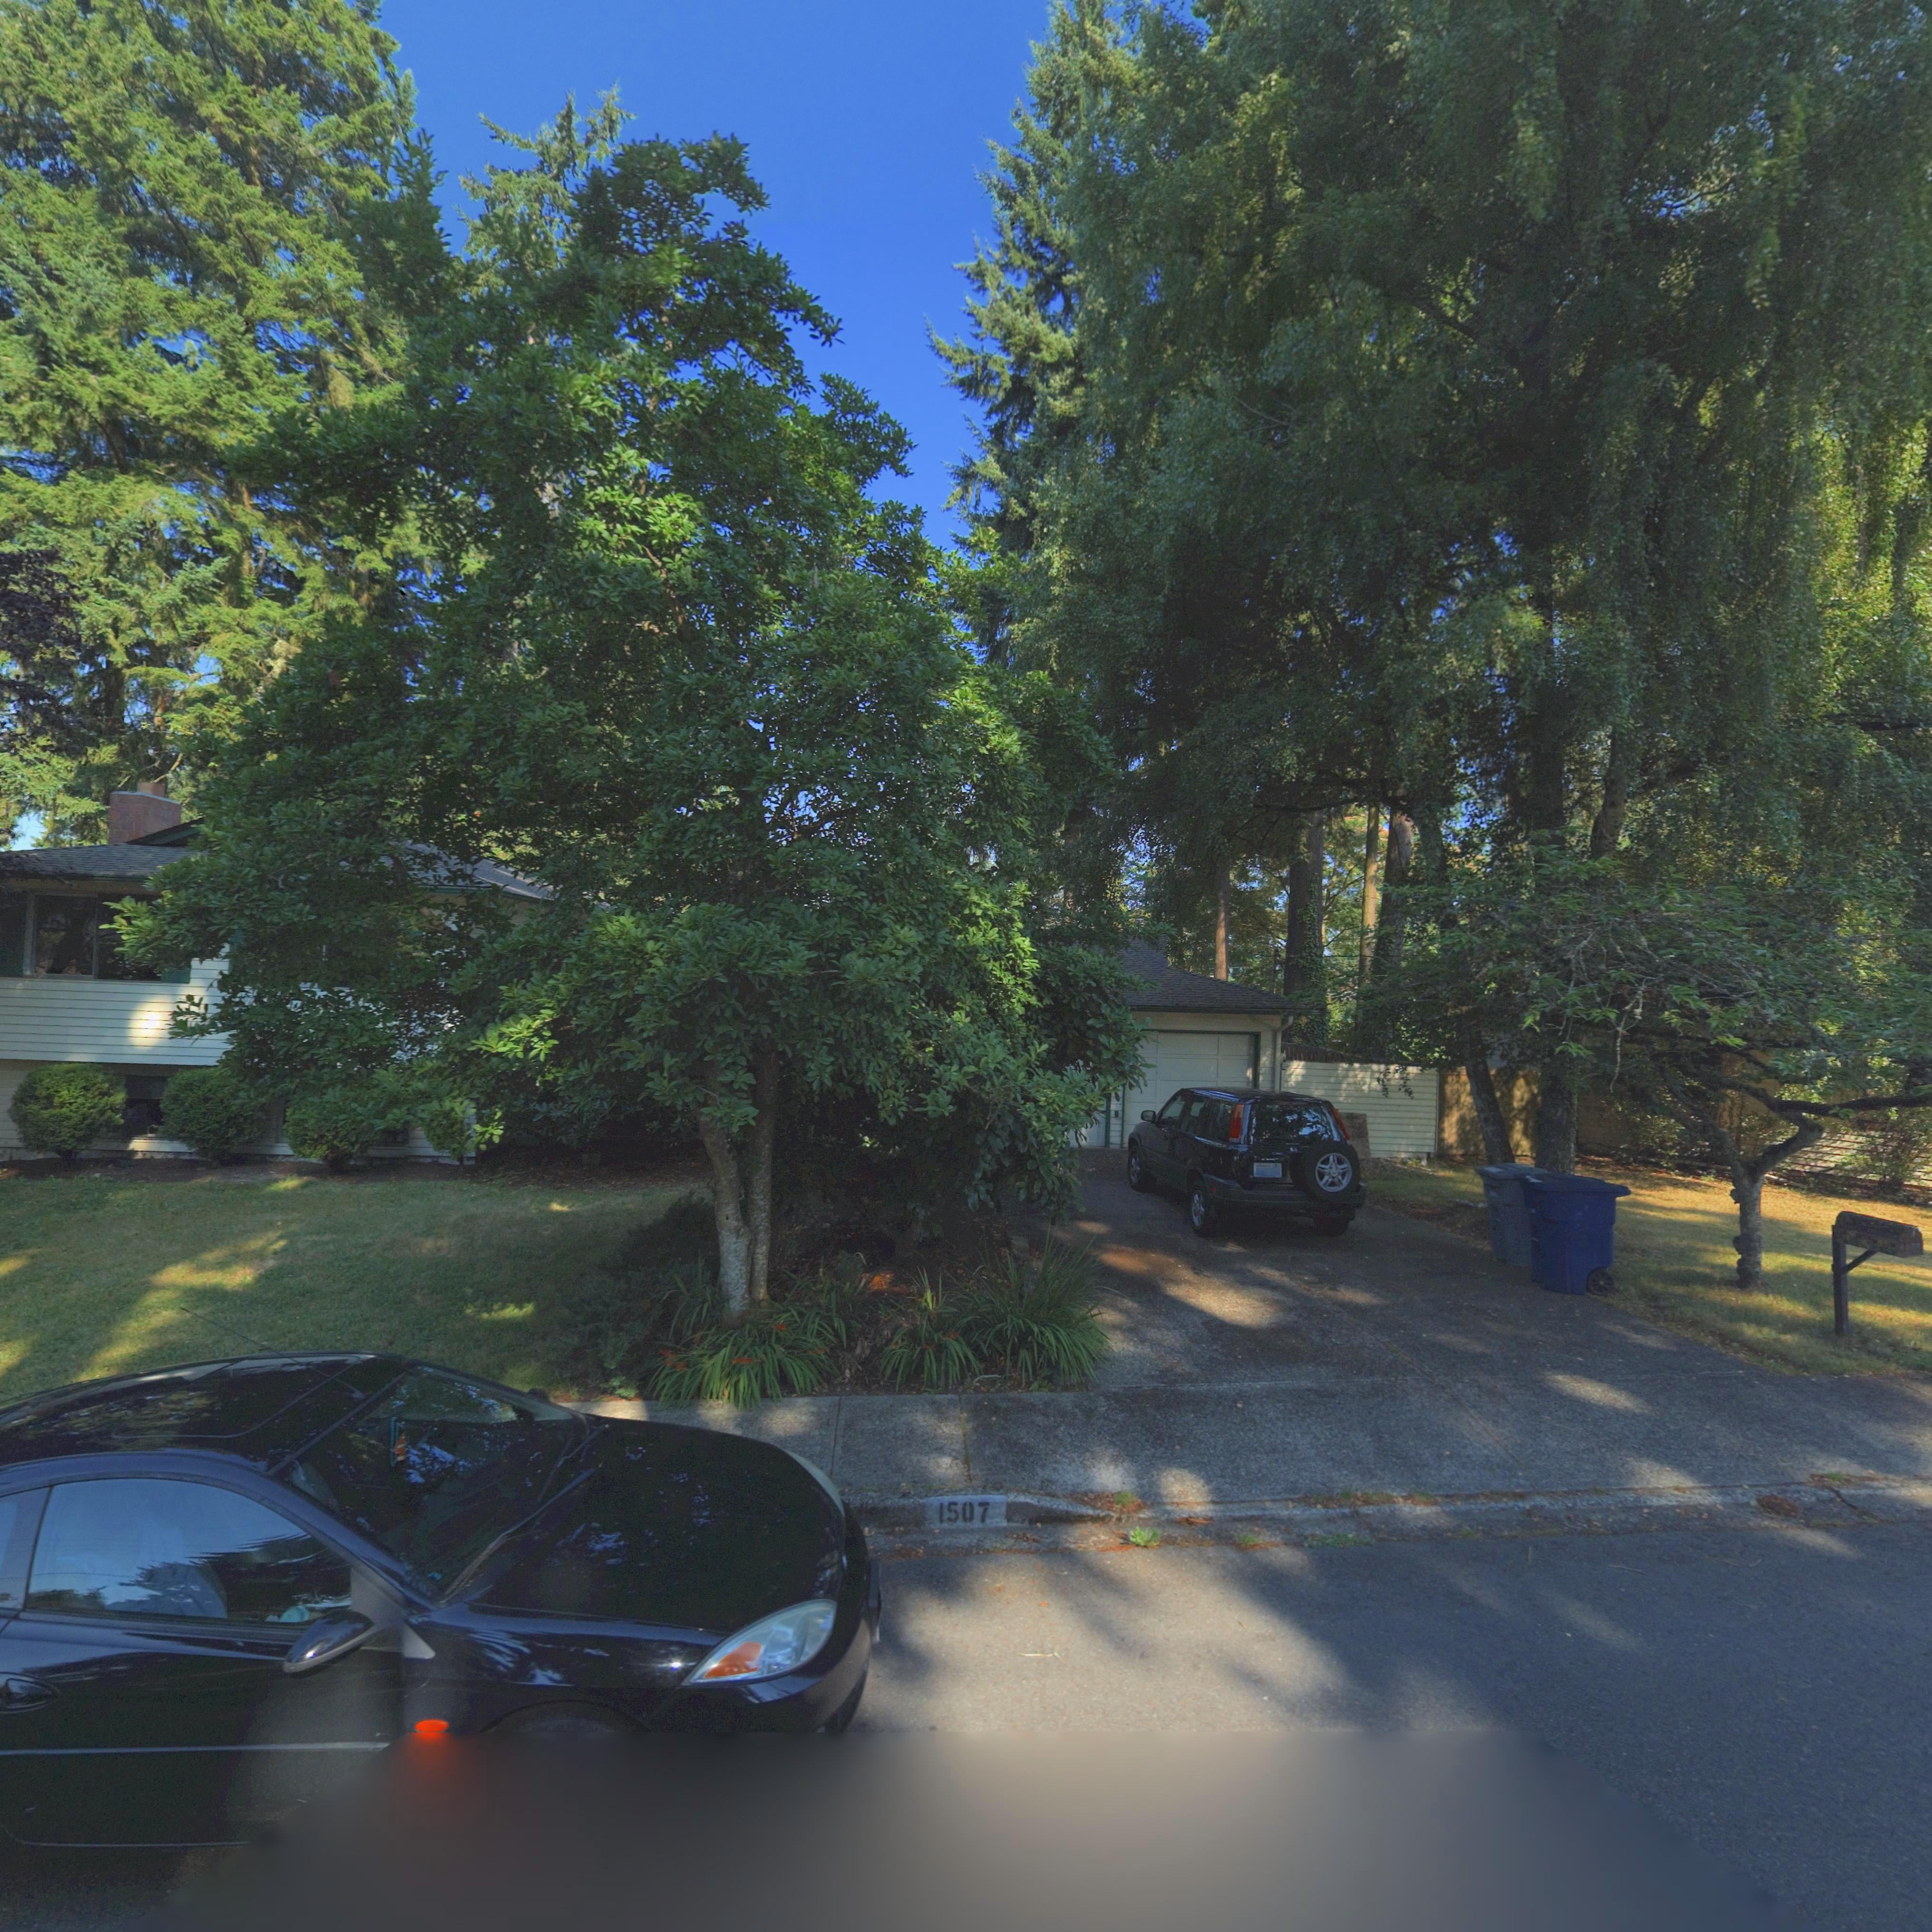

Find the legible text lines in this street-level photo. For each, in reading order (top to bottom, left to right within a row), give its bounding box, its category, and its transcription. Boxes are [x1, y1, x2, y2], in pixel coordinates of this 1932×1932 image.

[938, 1499, 990, 1524] StreetNumber: 1507